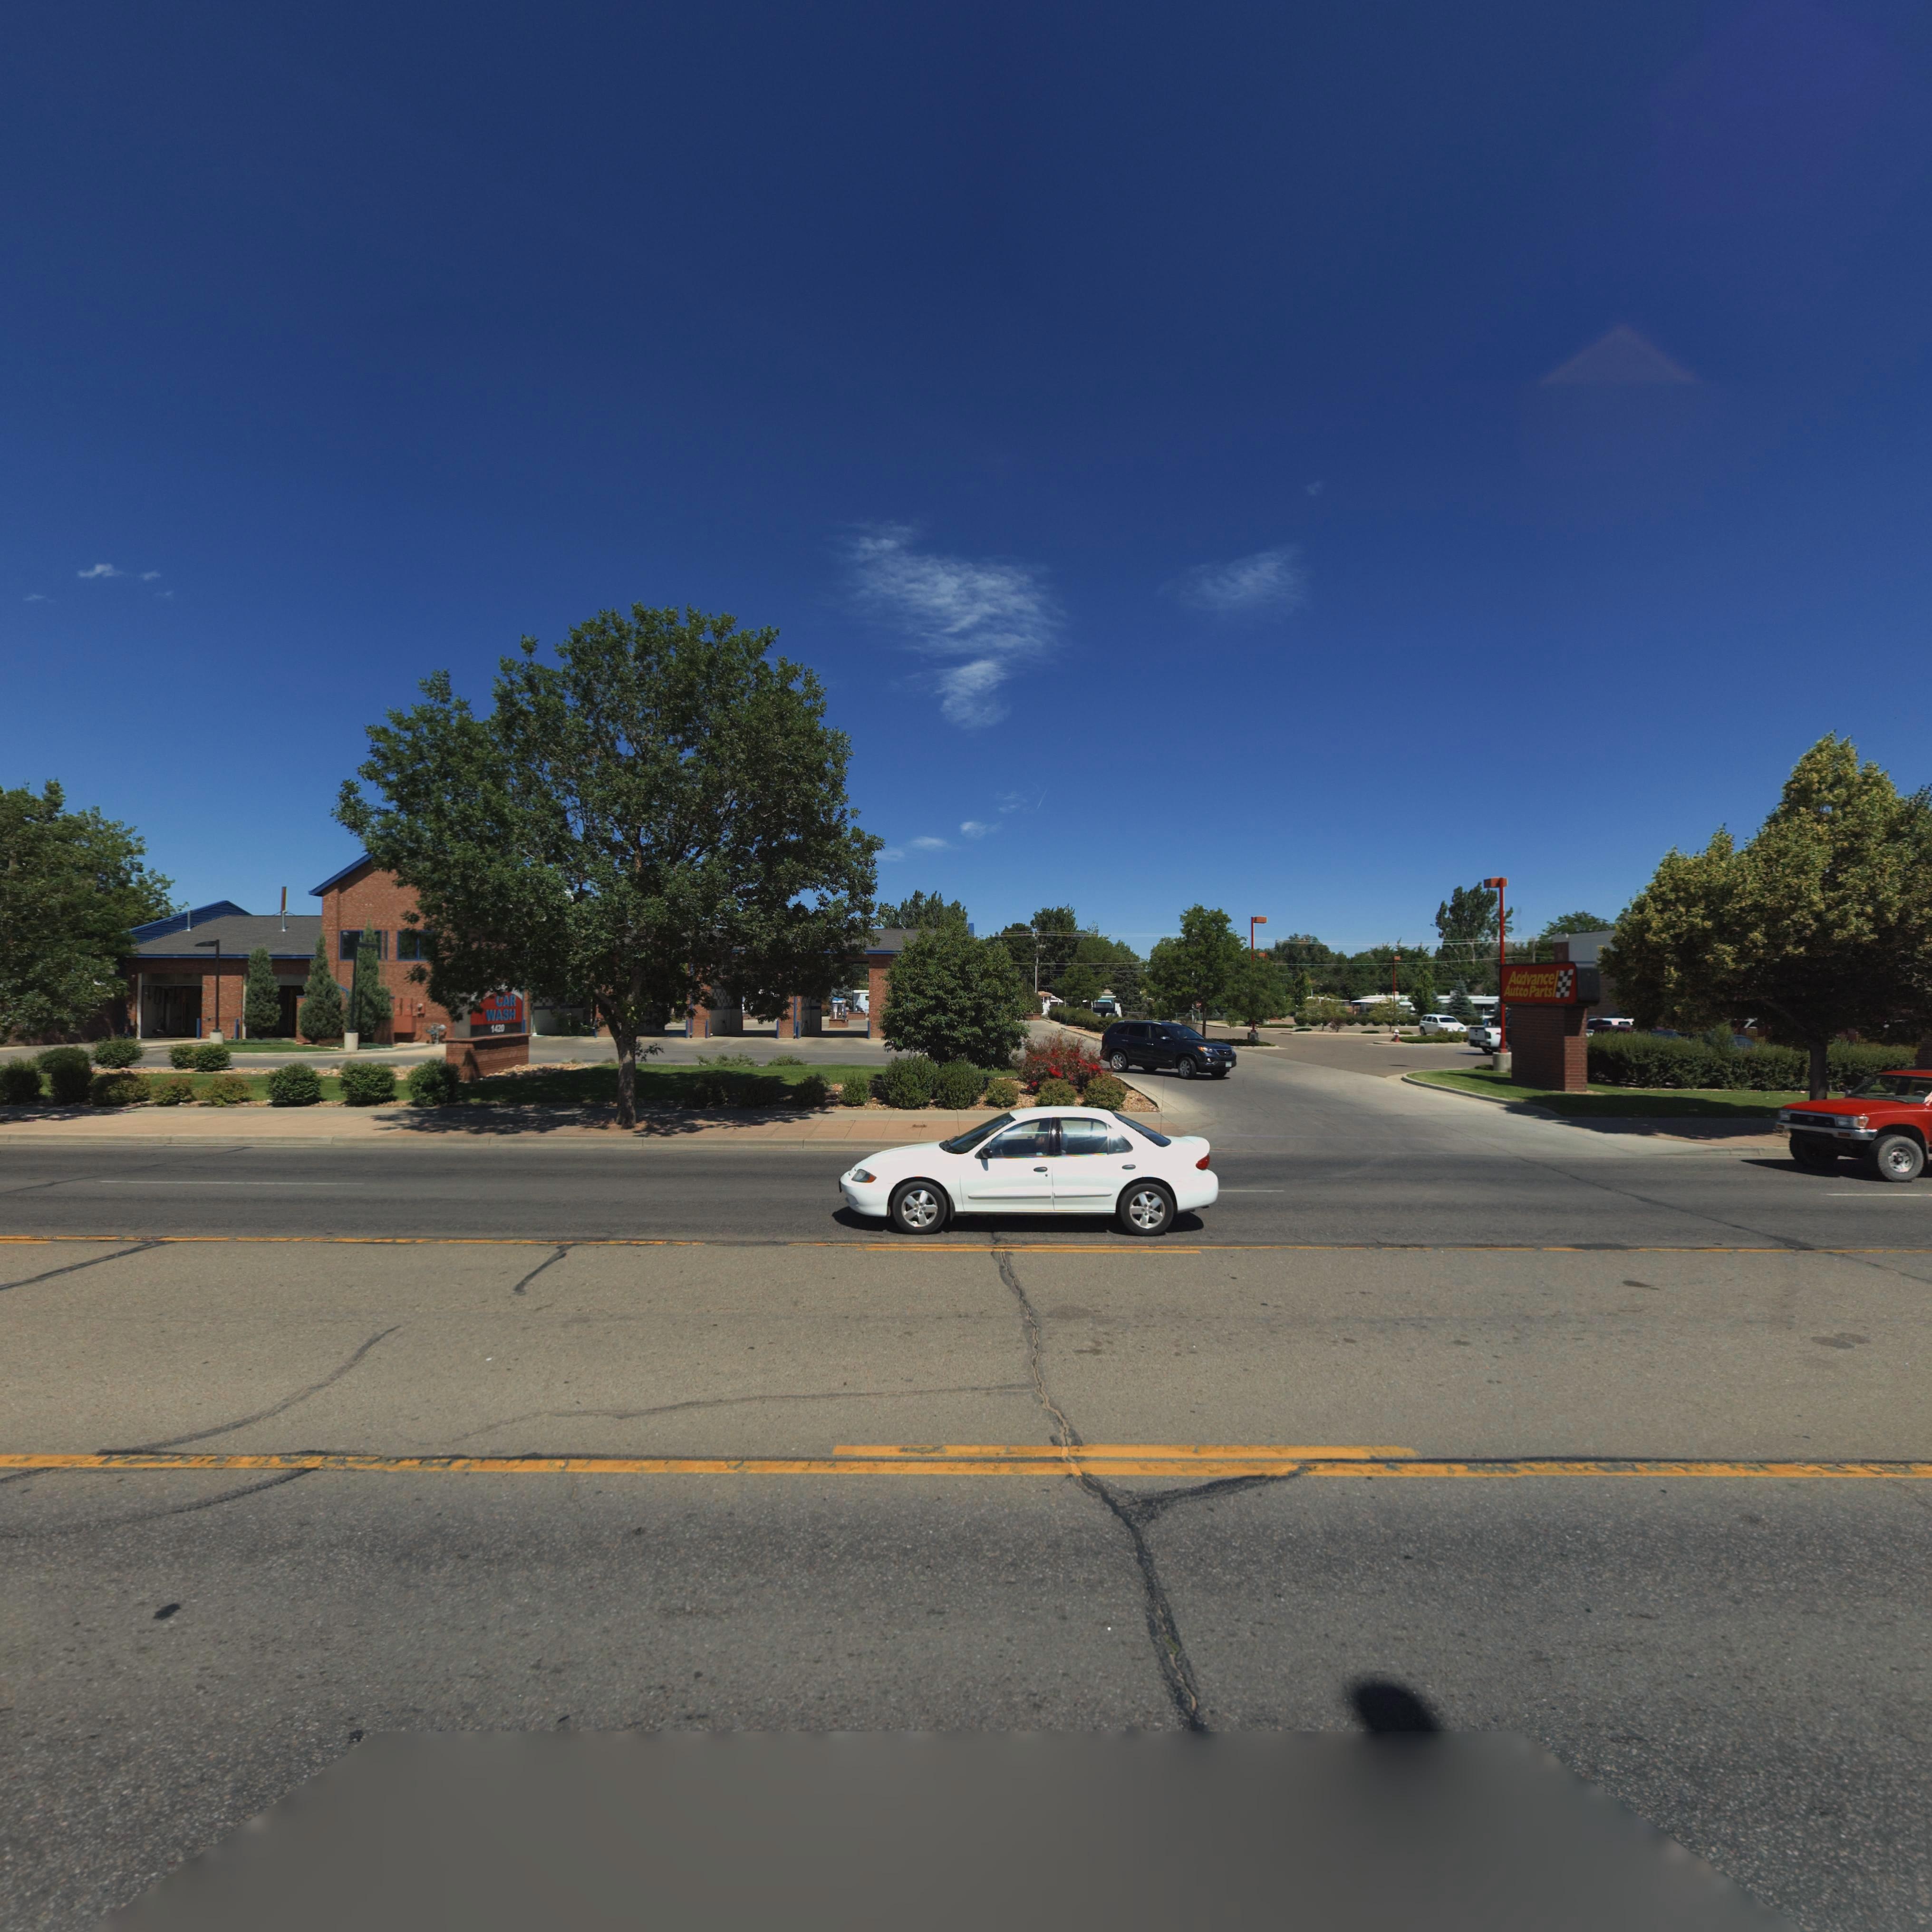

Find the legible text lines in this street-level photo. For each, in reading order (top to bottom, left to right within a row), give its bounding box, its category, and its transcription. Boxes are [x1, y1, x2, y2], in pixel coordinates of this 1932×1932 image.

[1508, 970, 1555, 985] BusinessName: A*dvance
[1503, 985, 1553, 997] BusinessName: Aut*o Parts
[490, 1024, 505, 1033] StreetNumber: 1420